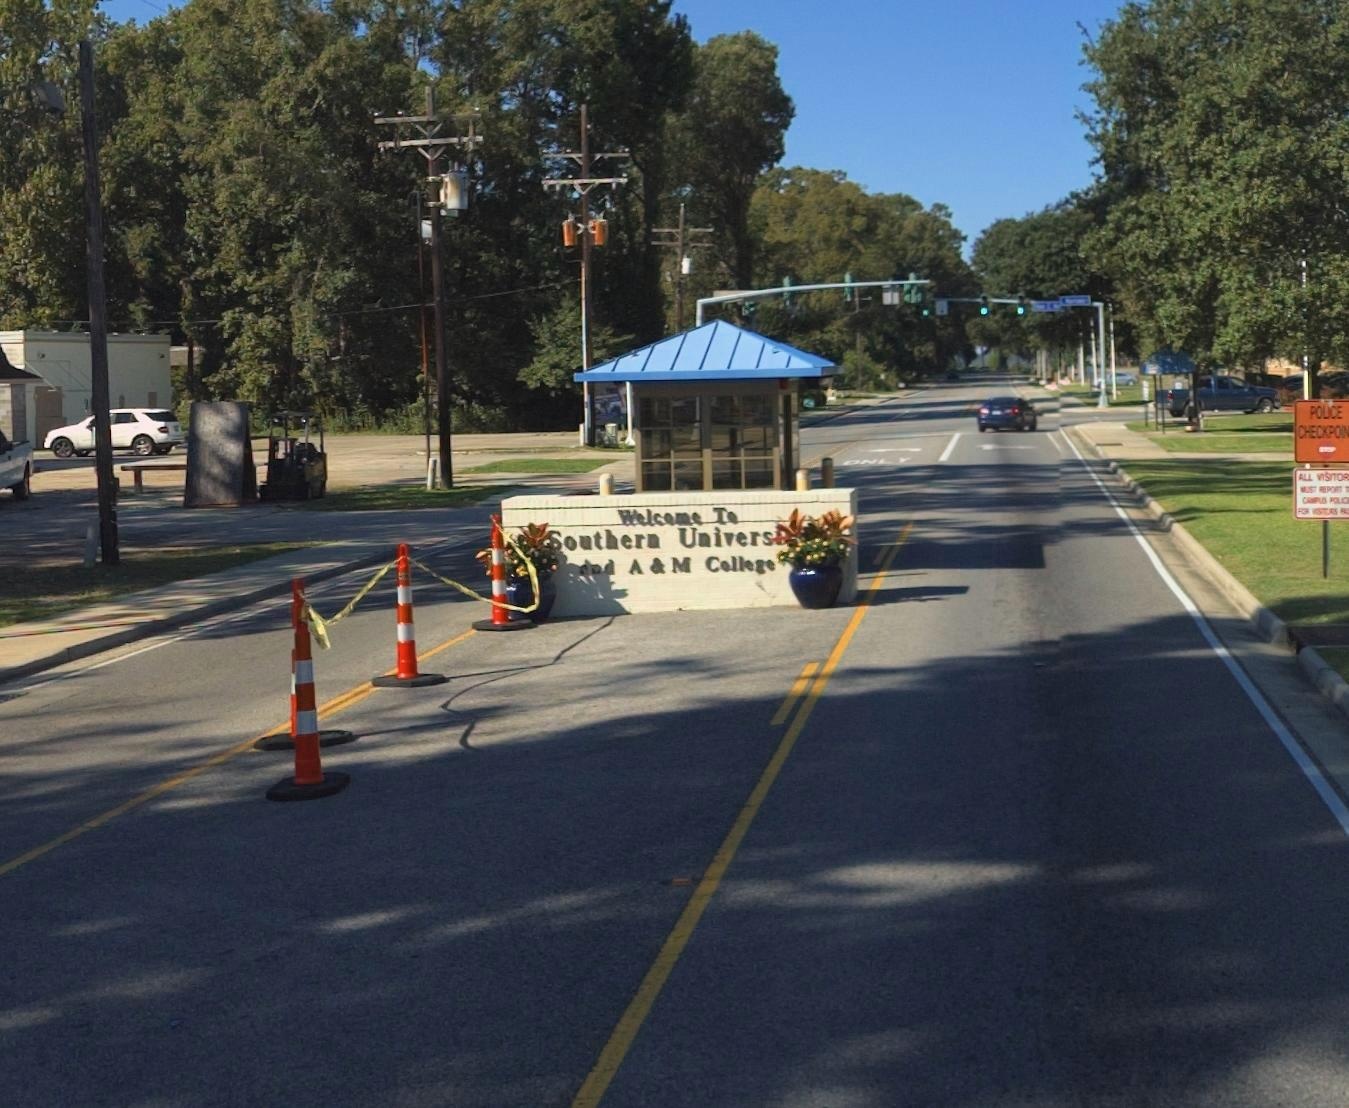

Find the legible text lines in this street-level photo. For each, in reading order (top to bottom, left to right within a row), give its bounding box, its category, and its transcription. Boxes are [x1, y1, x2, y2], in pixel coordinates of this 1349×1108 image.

[1309, 405, 1344, 420] None: POLICE
[1297, 424, 1347, 440] None: CHECKPOI
[841, 456, 914, 466] None: ONLY
[1297, 471, 1349, 483] None: ALL VISITOR
[1299, 484, 1345, 495] None: MUST REPORT
[1301, 496, 1348, 505] None: CAMPUS POLIC
[617, 506, 740, 527] None: Welcome To
[1297, 506, 1348, 516] None: FOR VISITORS PA
[547, 527, 785, 551] BusinessName: Southern Univers**
[578, 556, 777, 577] BusinessName: and A & M College